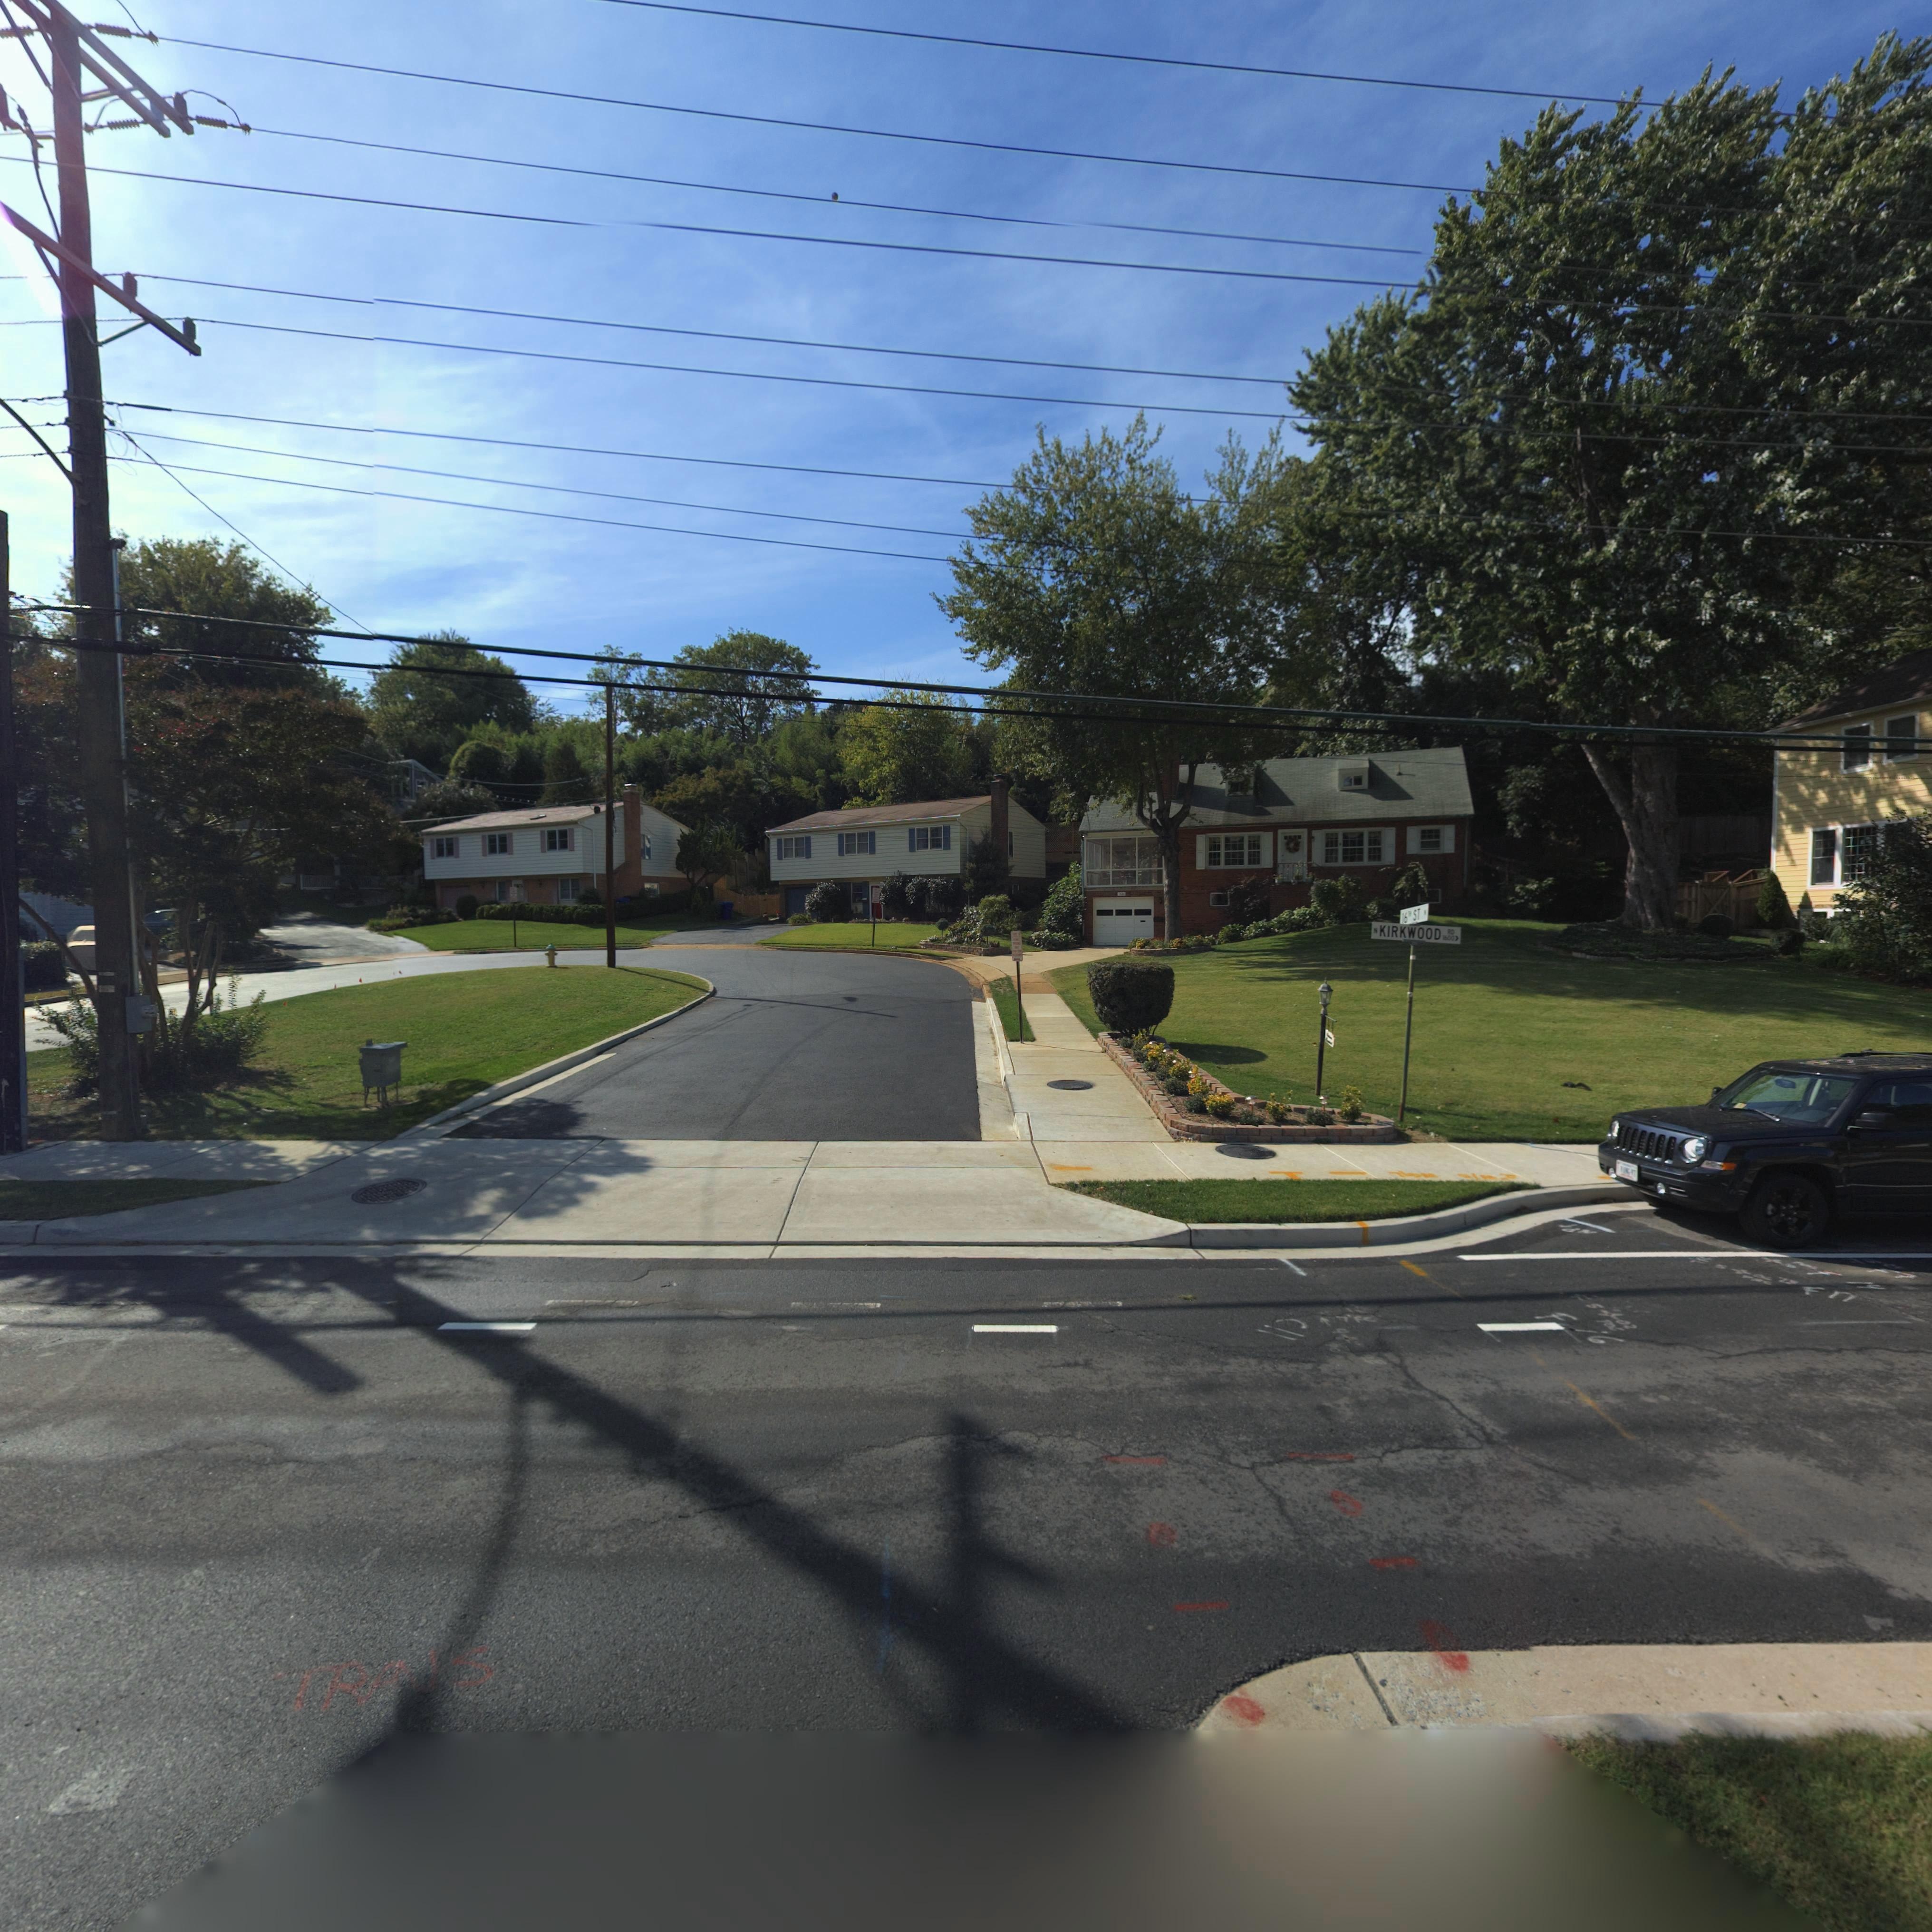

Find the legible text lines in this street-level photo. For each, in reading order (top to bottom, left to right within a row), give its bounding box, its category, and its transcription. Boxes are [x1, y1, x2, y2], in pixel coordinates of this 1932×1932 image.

[1401, 906, 1422, 925] StreetName: 16TH ST
[1378, 923, 1456, 942] StreetName: KIRKWOOD RD
[1441, 933, 1460, 943] StreetNumberRange: 1600->